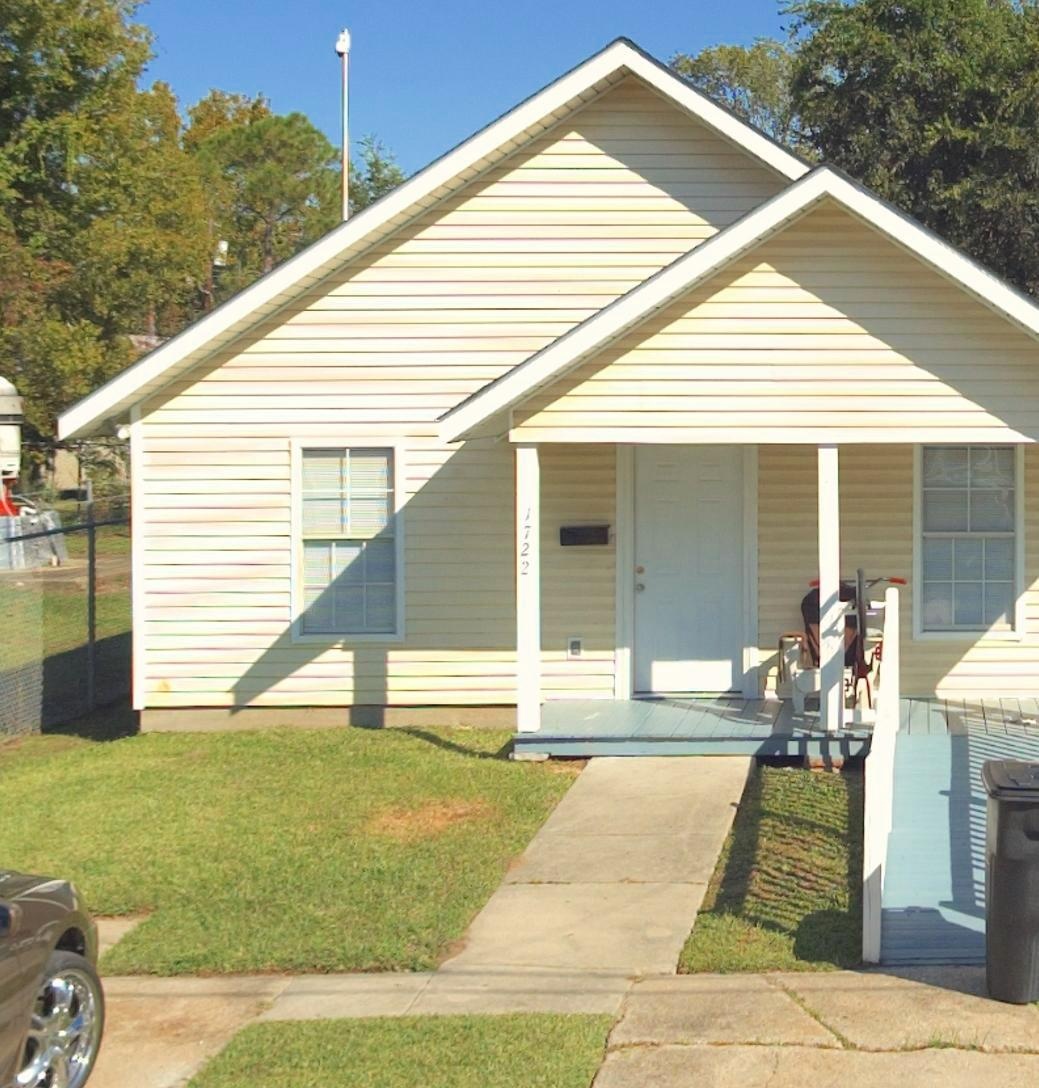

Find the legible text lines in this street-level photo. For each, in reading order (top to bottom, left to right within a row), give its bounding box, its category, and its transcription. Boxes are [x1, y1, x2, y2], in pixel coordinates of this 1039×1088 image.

[518, 506, 533, 577] StreetNumber: 1722